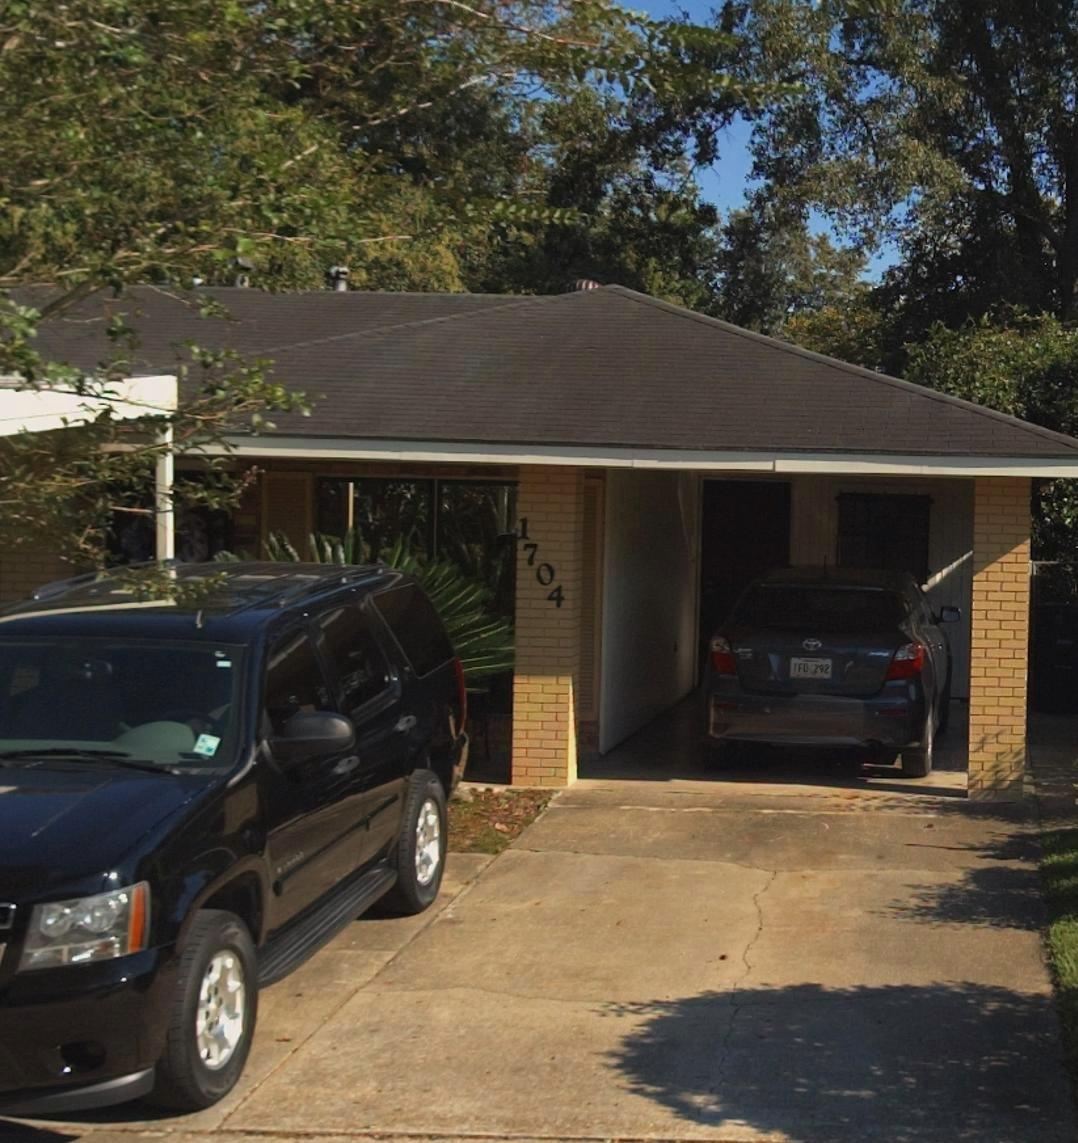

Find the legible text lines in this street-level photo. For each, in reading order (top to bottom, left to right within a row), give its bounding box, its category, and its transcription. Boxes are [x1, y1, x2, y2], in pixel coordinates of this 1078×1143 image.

[518, 511, 566, 616] StreetNumber: 1704
[792, 663, 830, 674] None: TFD 292